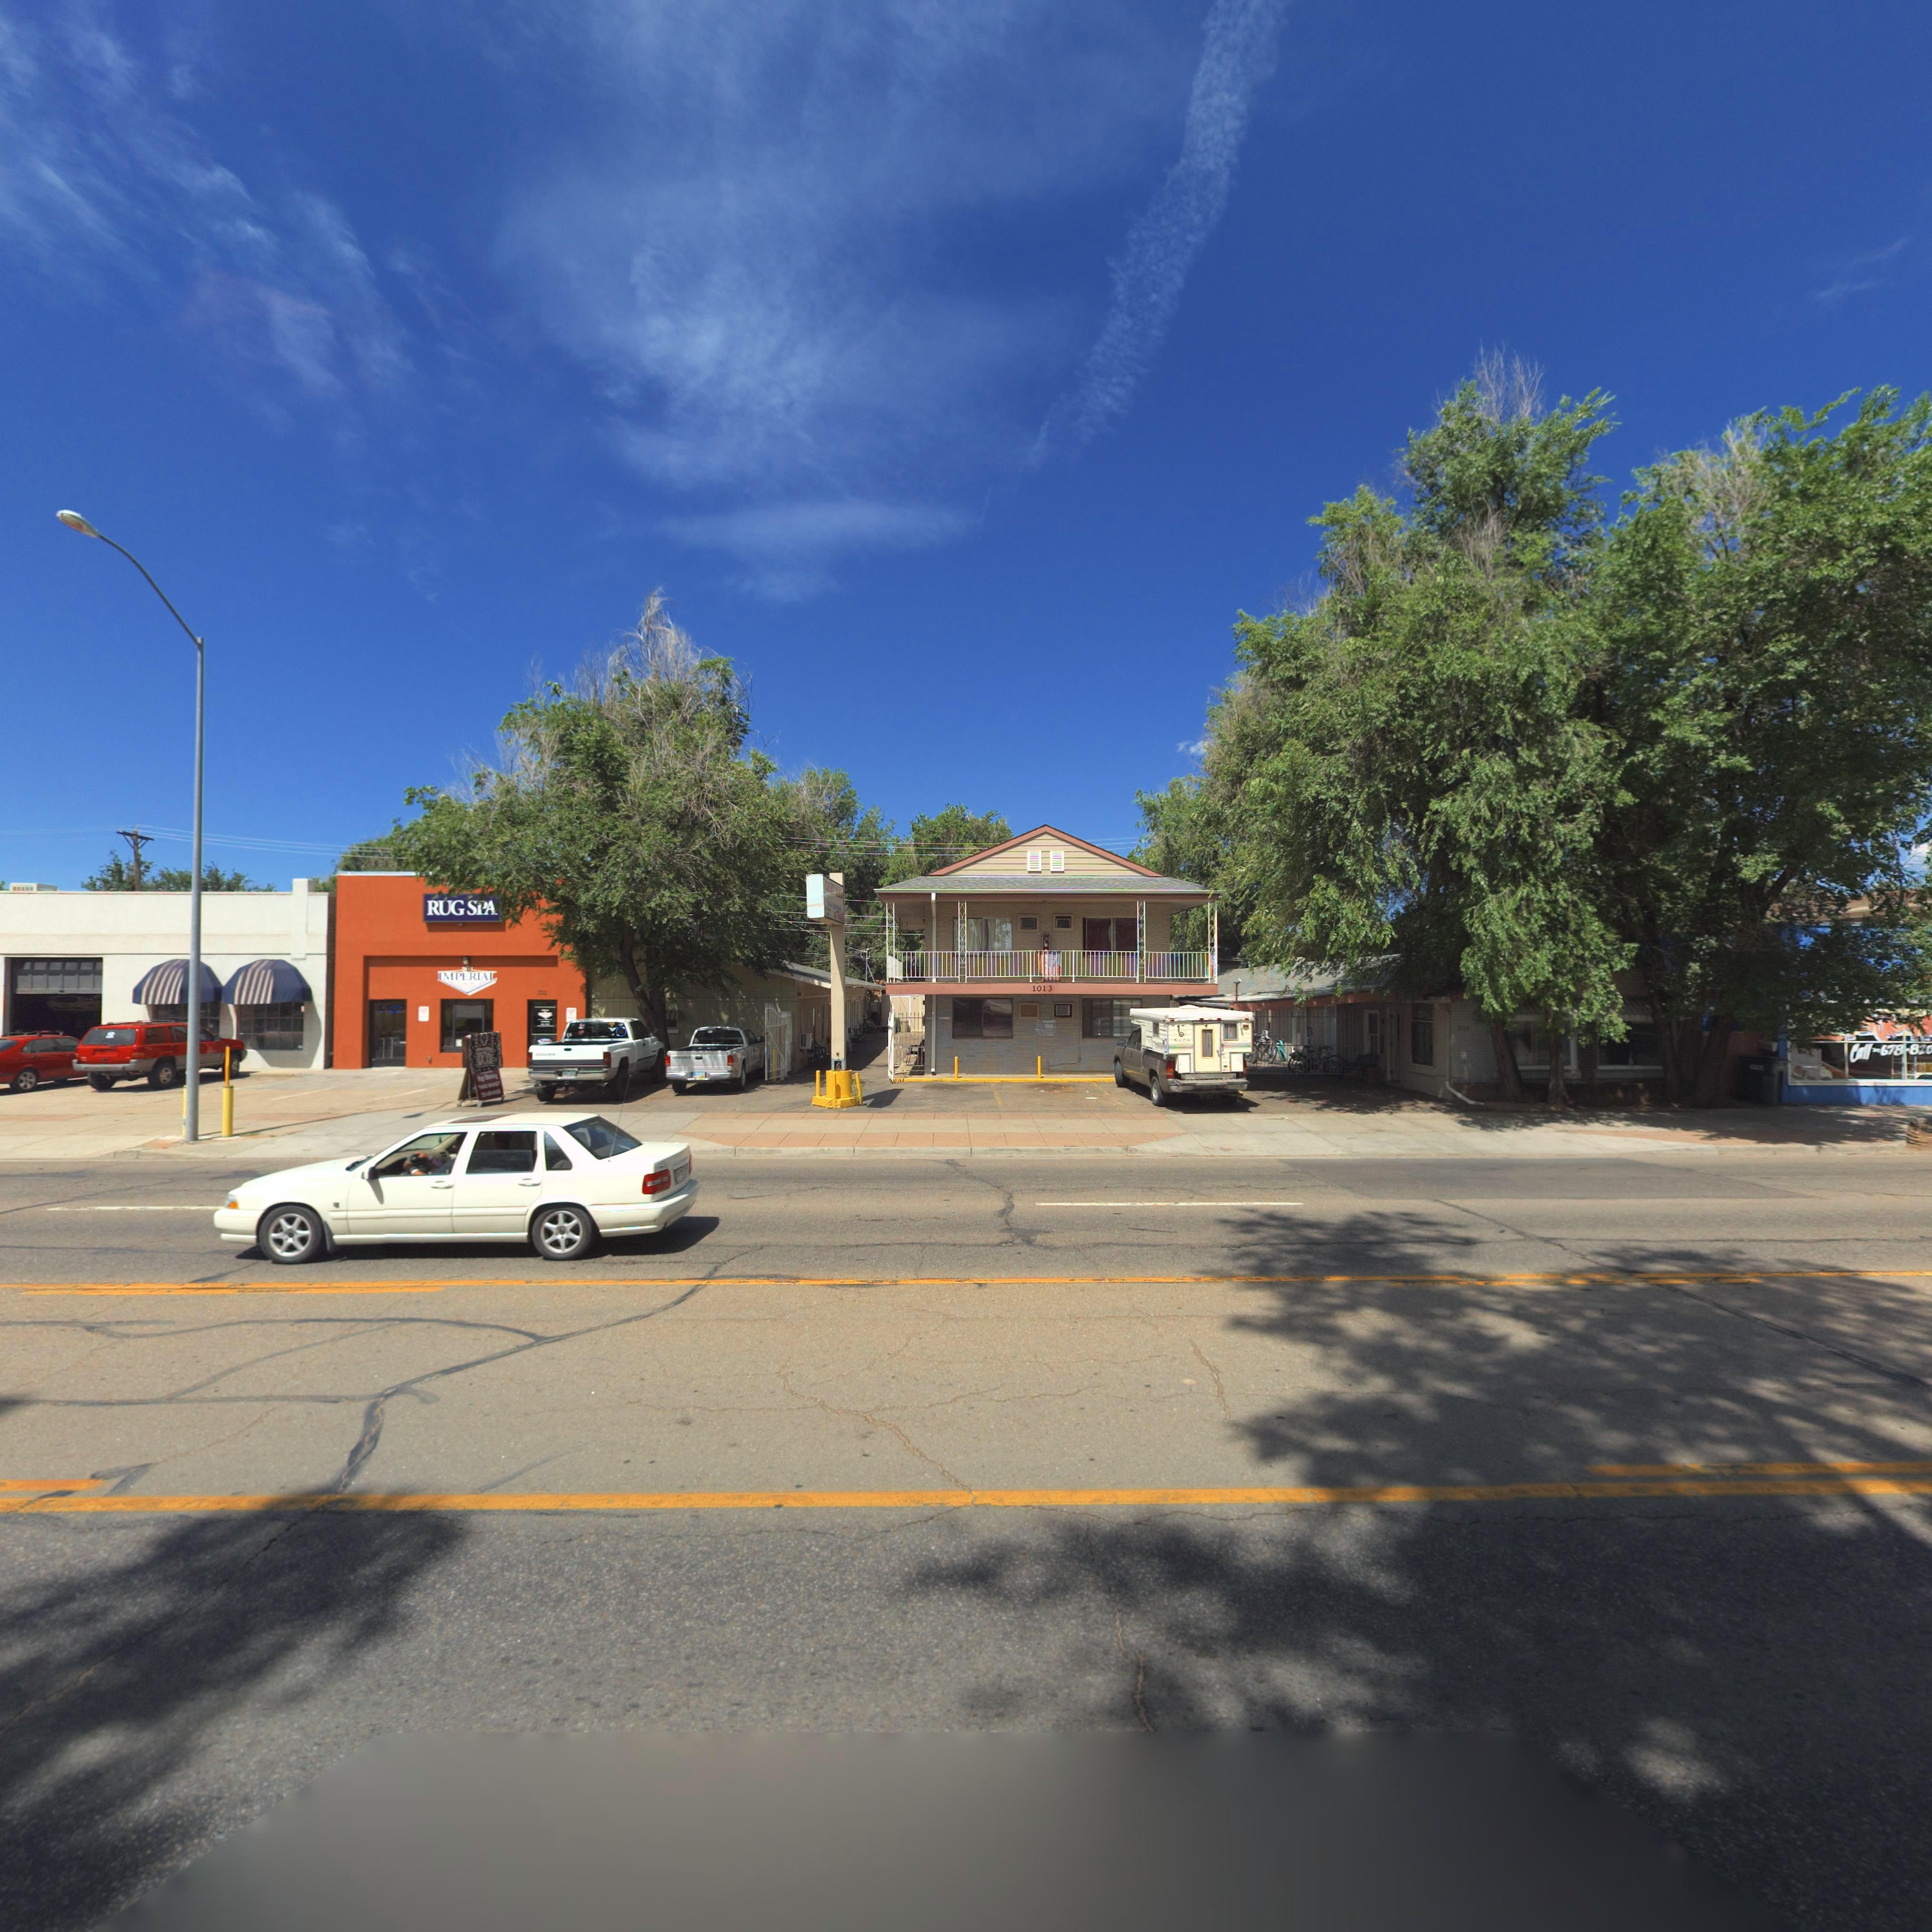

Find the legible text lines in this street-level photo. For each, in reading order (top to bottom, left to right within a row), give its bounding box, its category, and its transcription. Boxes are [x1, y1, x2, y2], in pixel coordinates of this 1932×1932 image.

[425, 899, 499, 916] BusinessName: RUG SPA
[438, 971, 495, 980] BusinessName: IMPERIAL
[538, 990, 547, 995] StreetNumber: 1011
[1032, 985, 1052, 992] StreetNumber: 1013